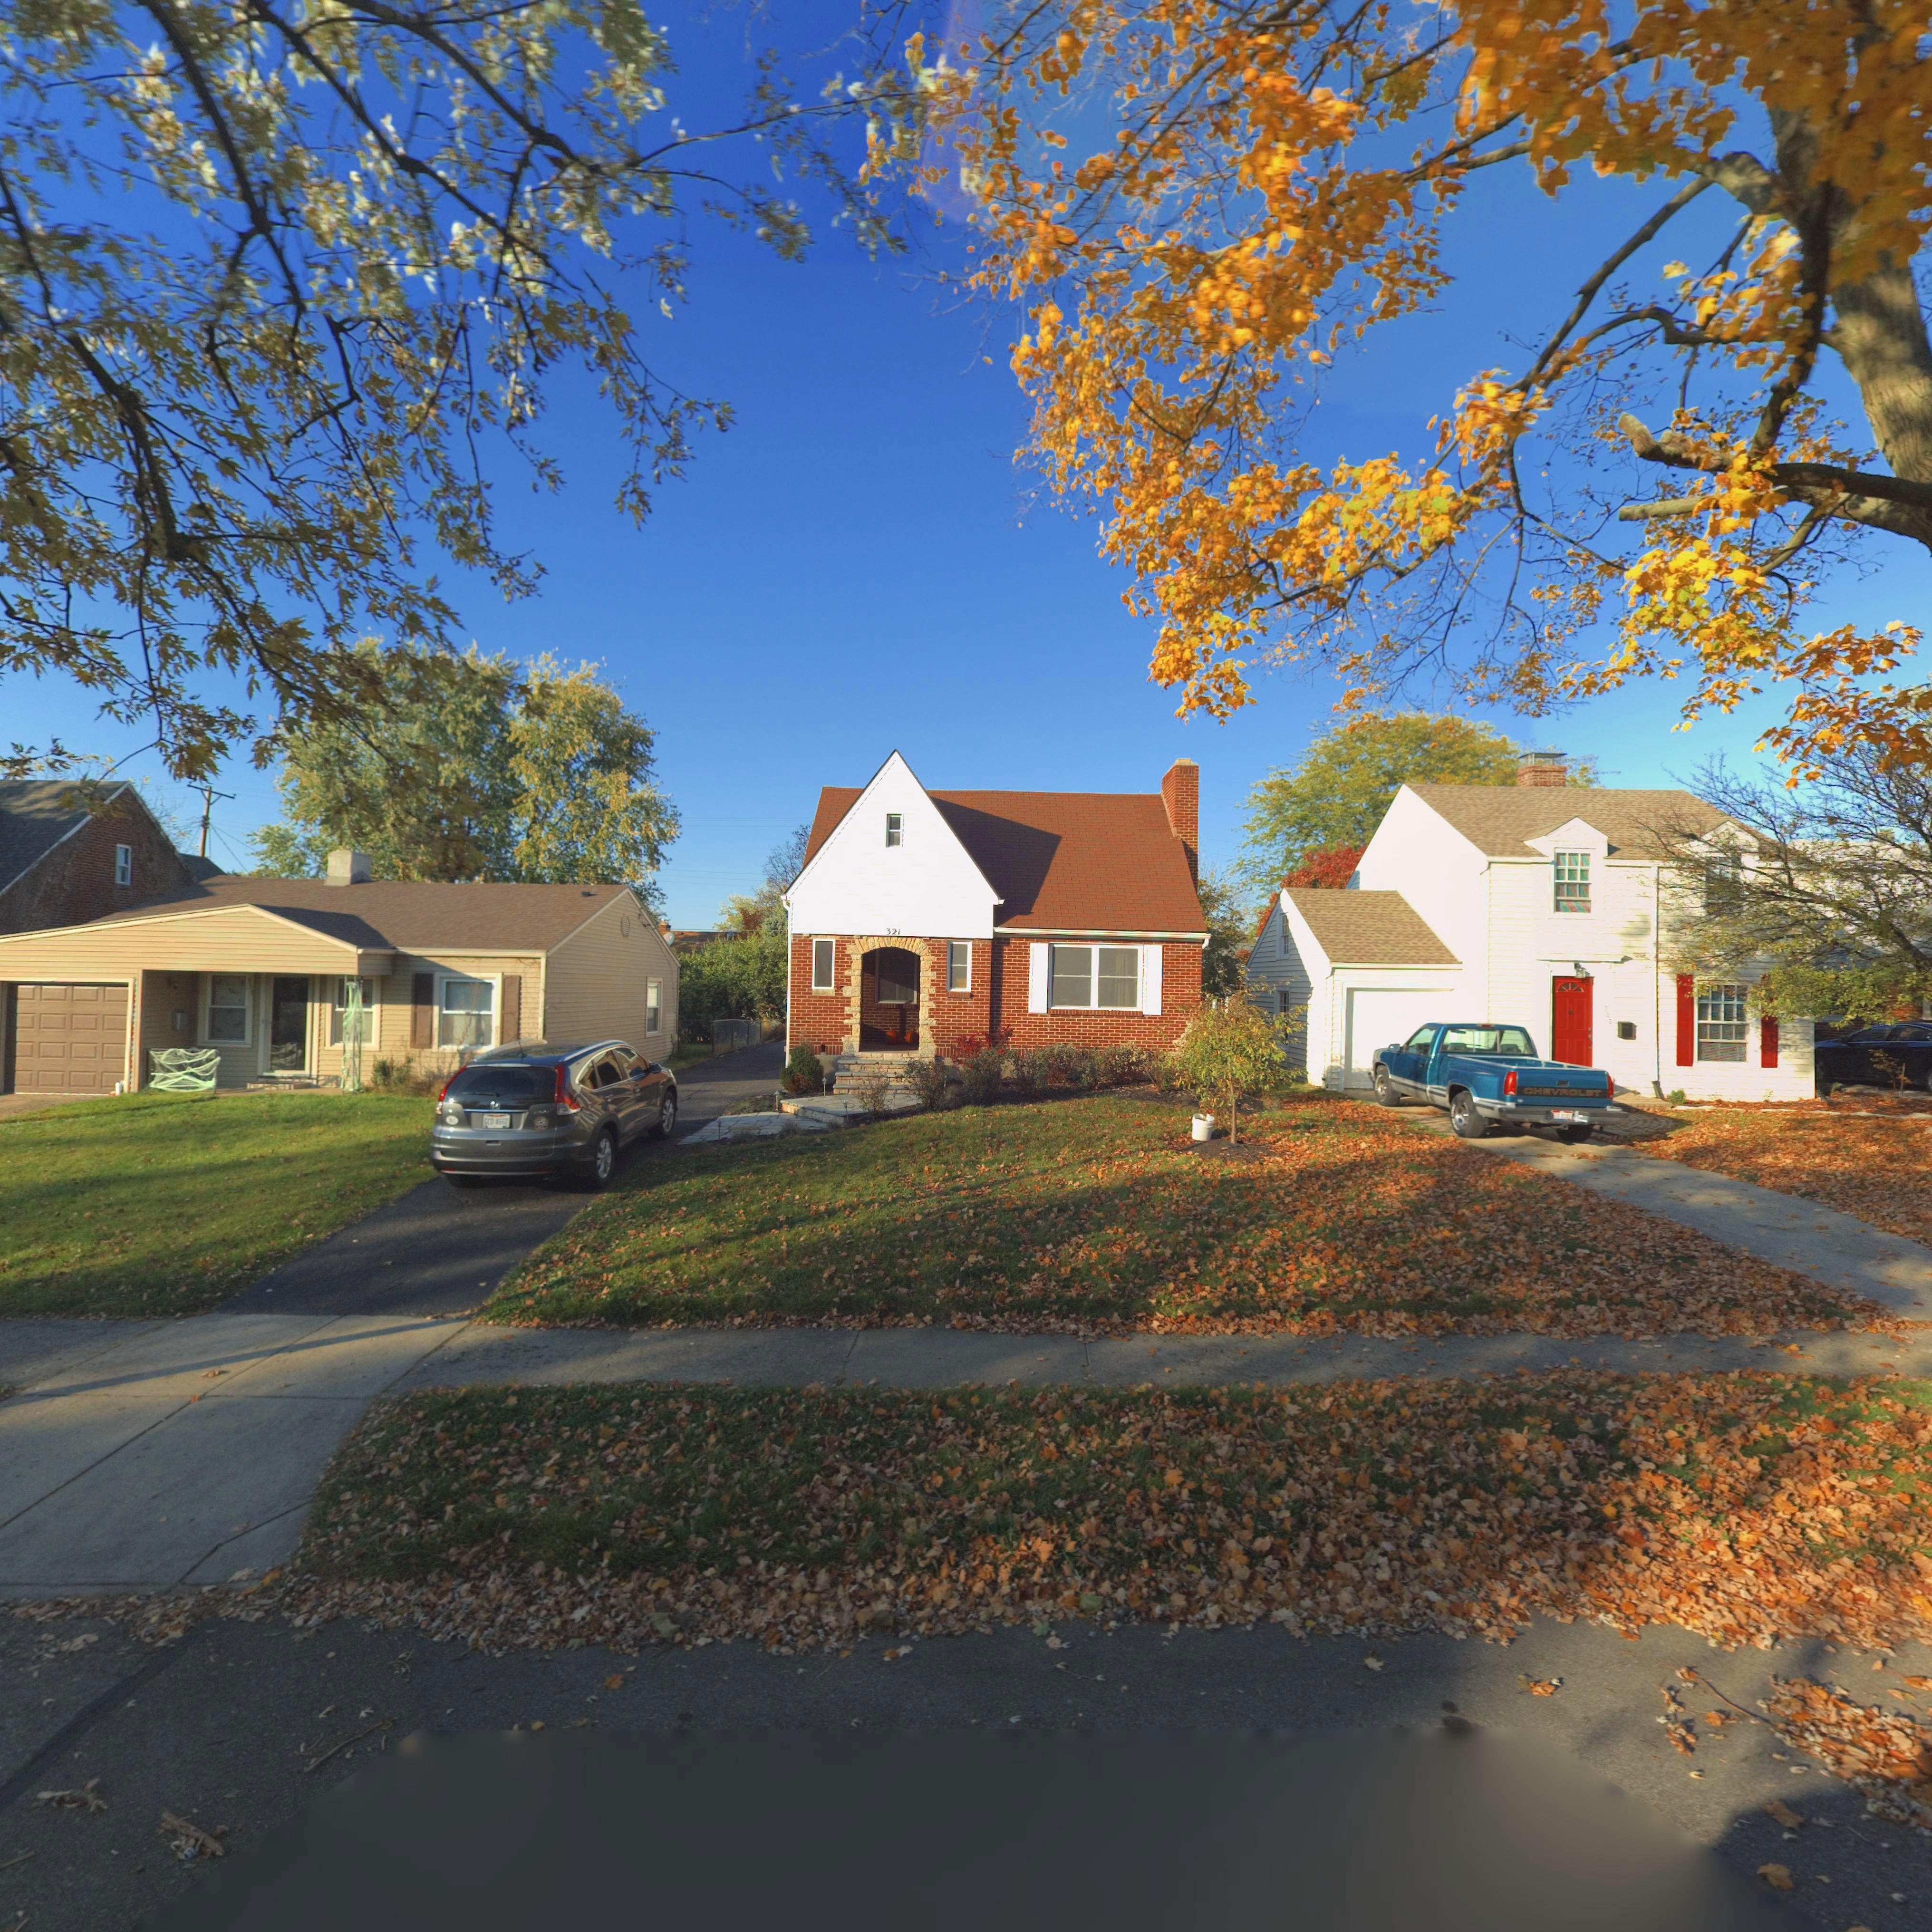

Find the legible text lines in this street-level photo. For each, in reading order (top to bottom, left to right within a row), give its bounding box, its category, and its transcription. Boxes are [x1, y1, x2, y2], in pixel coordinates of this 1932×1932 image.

[885, 927, 901, 936] StreetNumber: 321